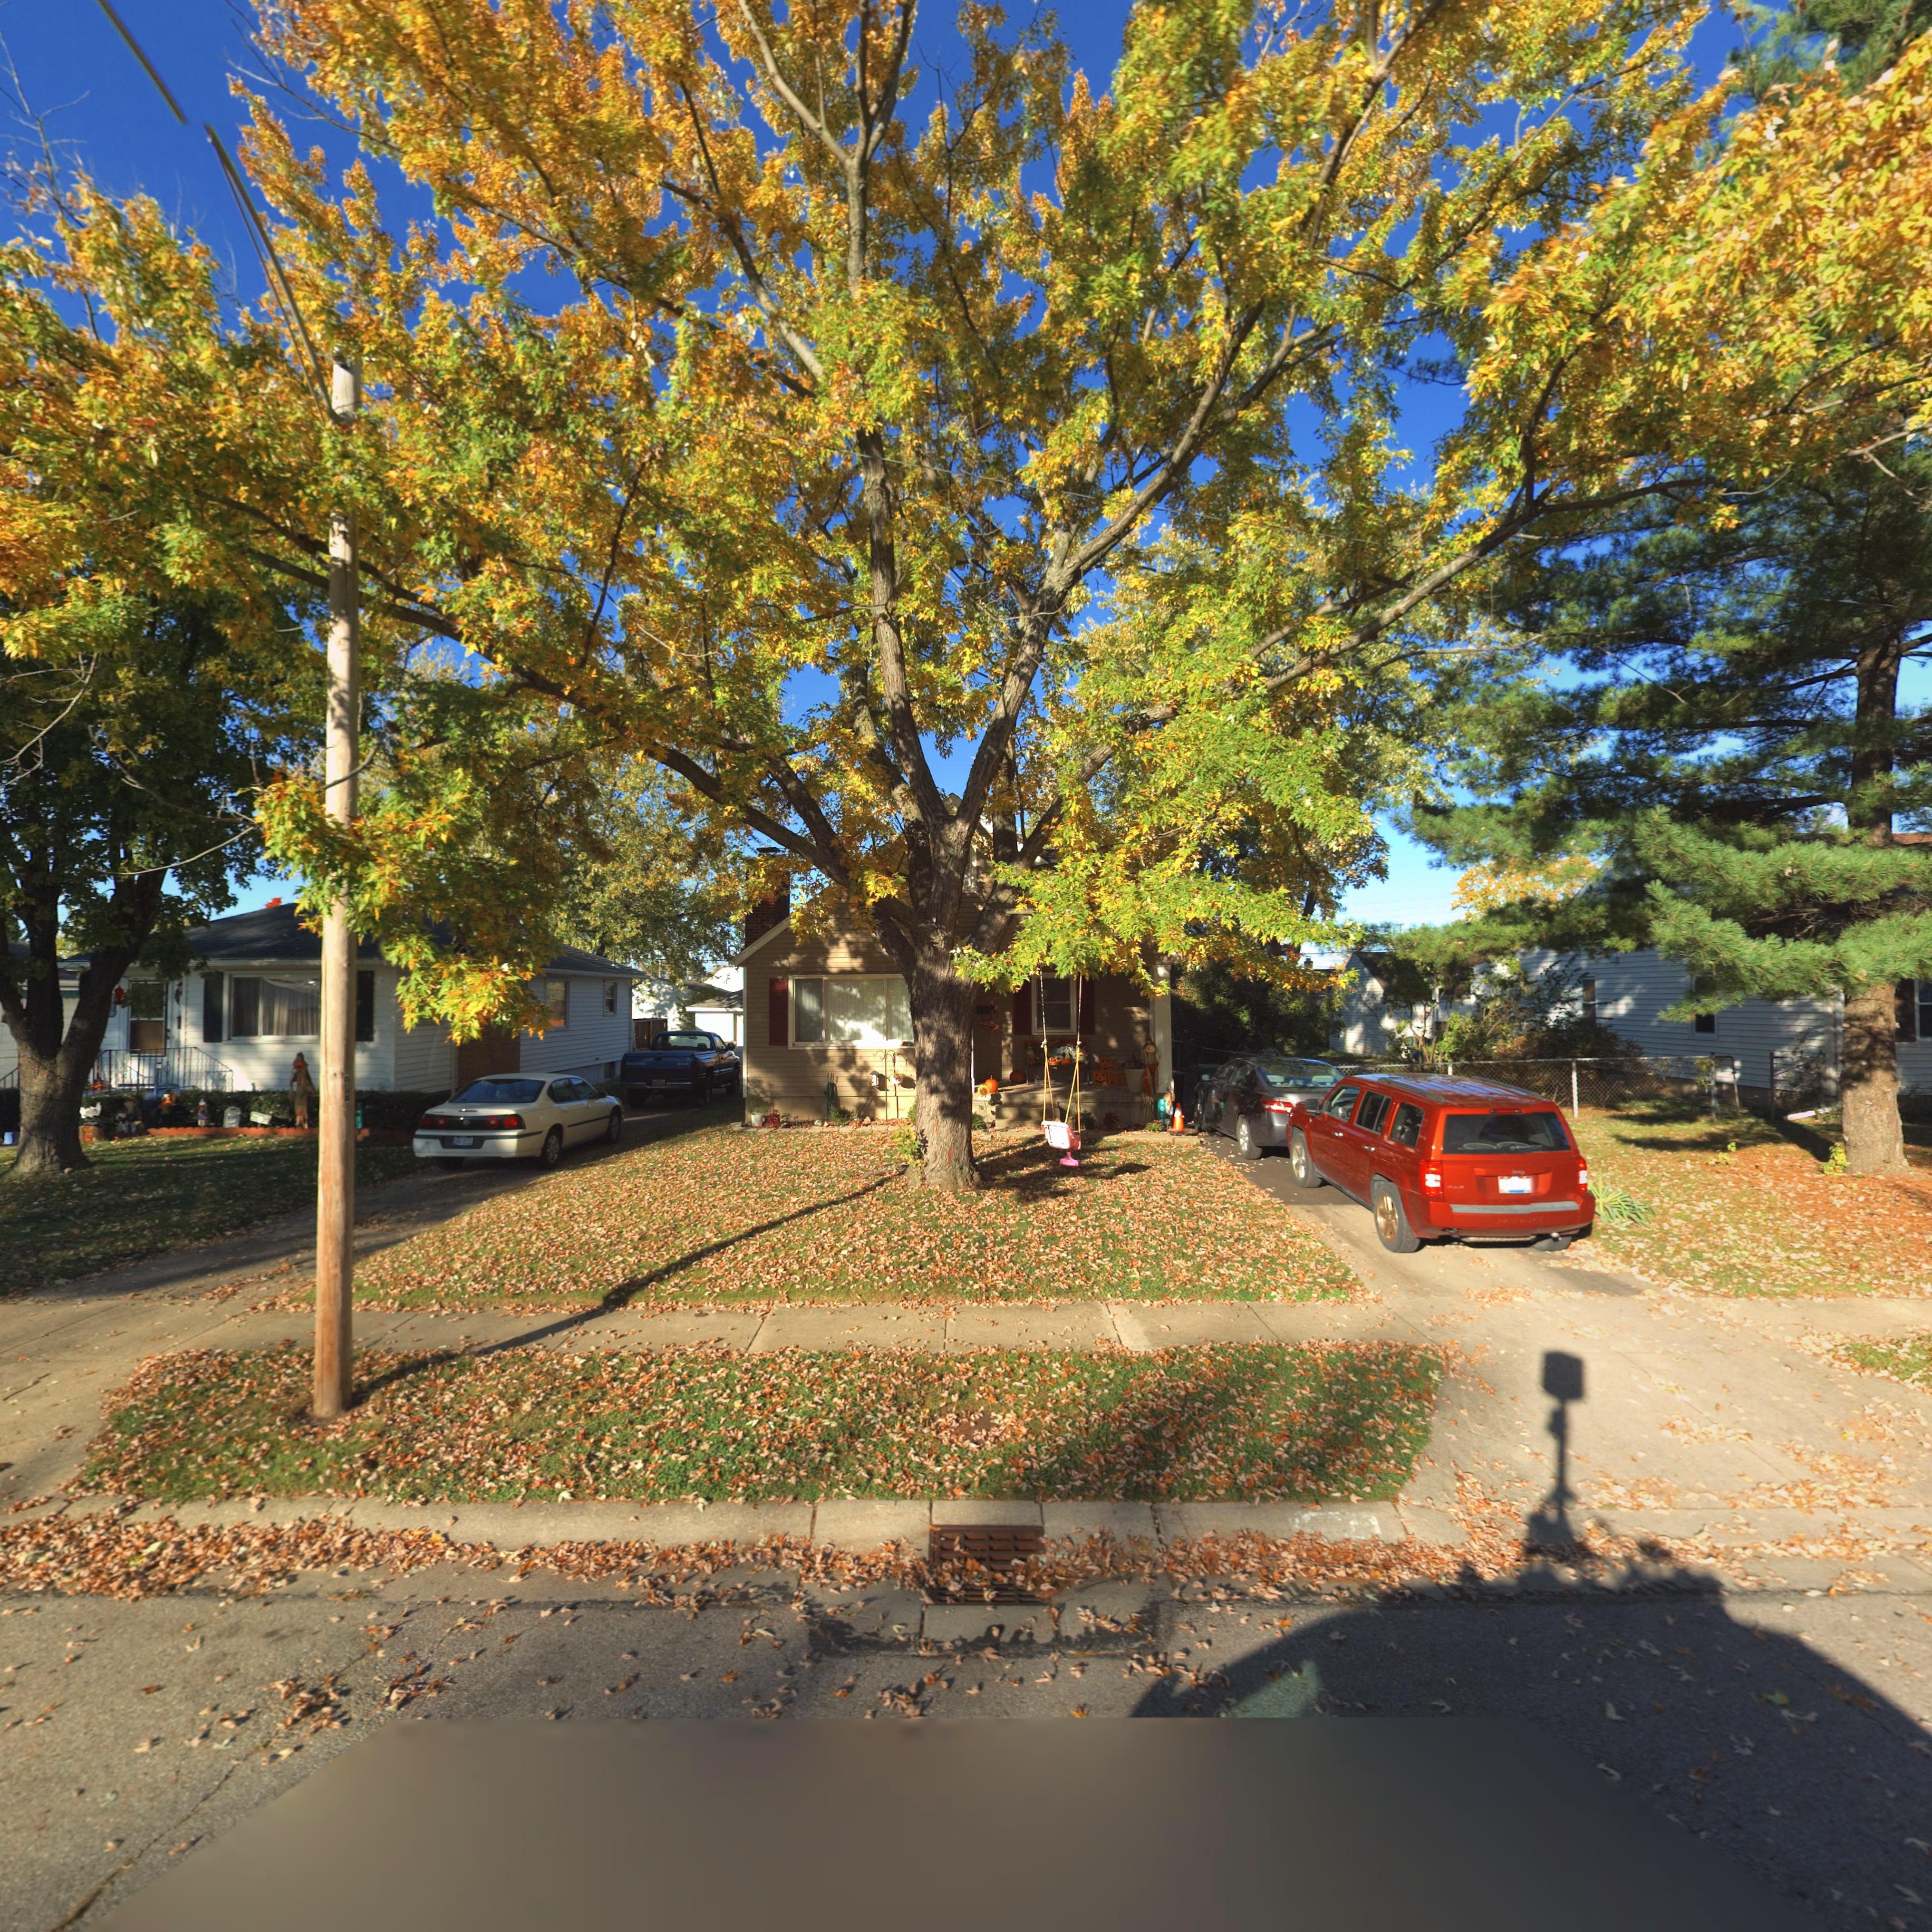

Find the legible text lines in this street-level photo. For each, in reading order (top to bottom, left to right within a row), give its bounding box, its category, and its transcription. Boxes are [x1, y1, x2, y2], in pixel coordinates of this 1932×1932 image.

[1159, 1099, 1165, 1124] StreetNumber: 5009